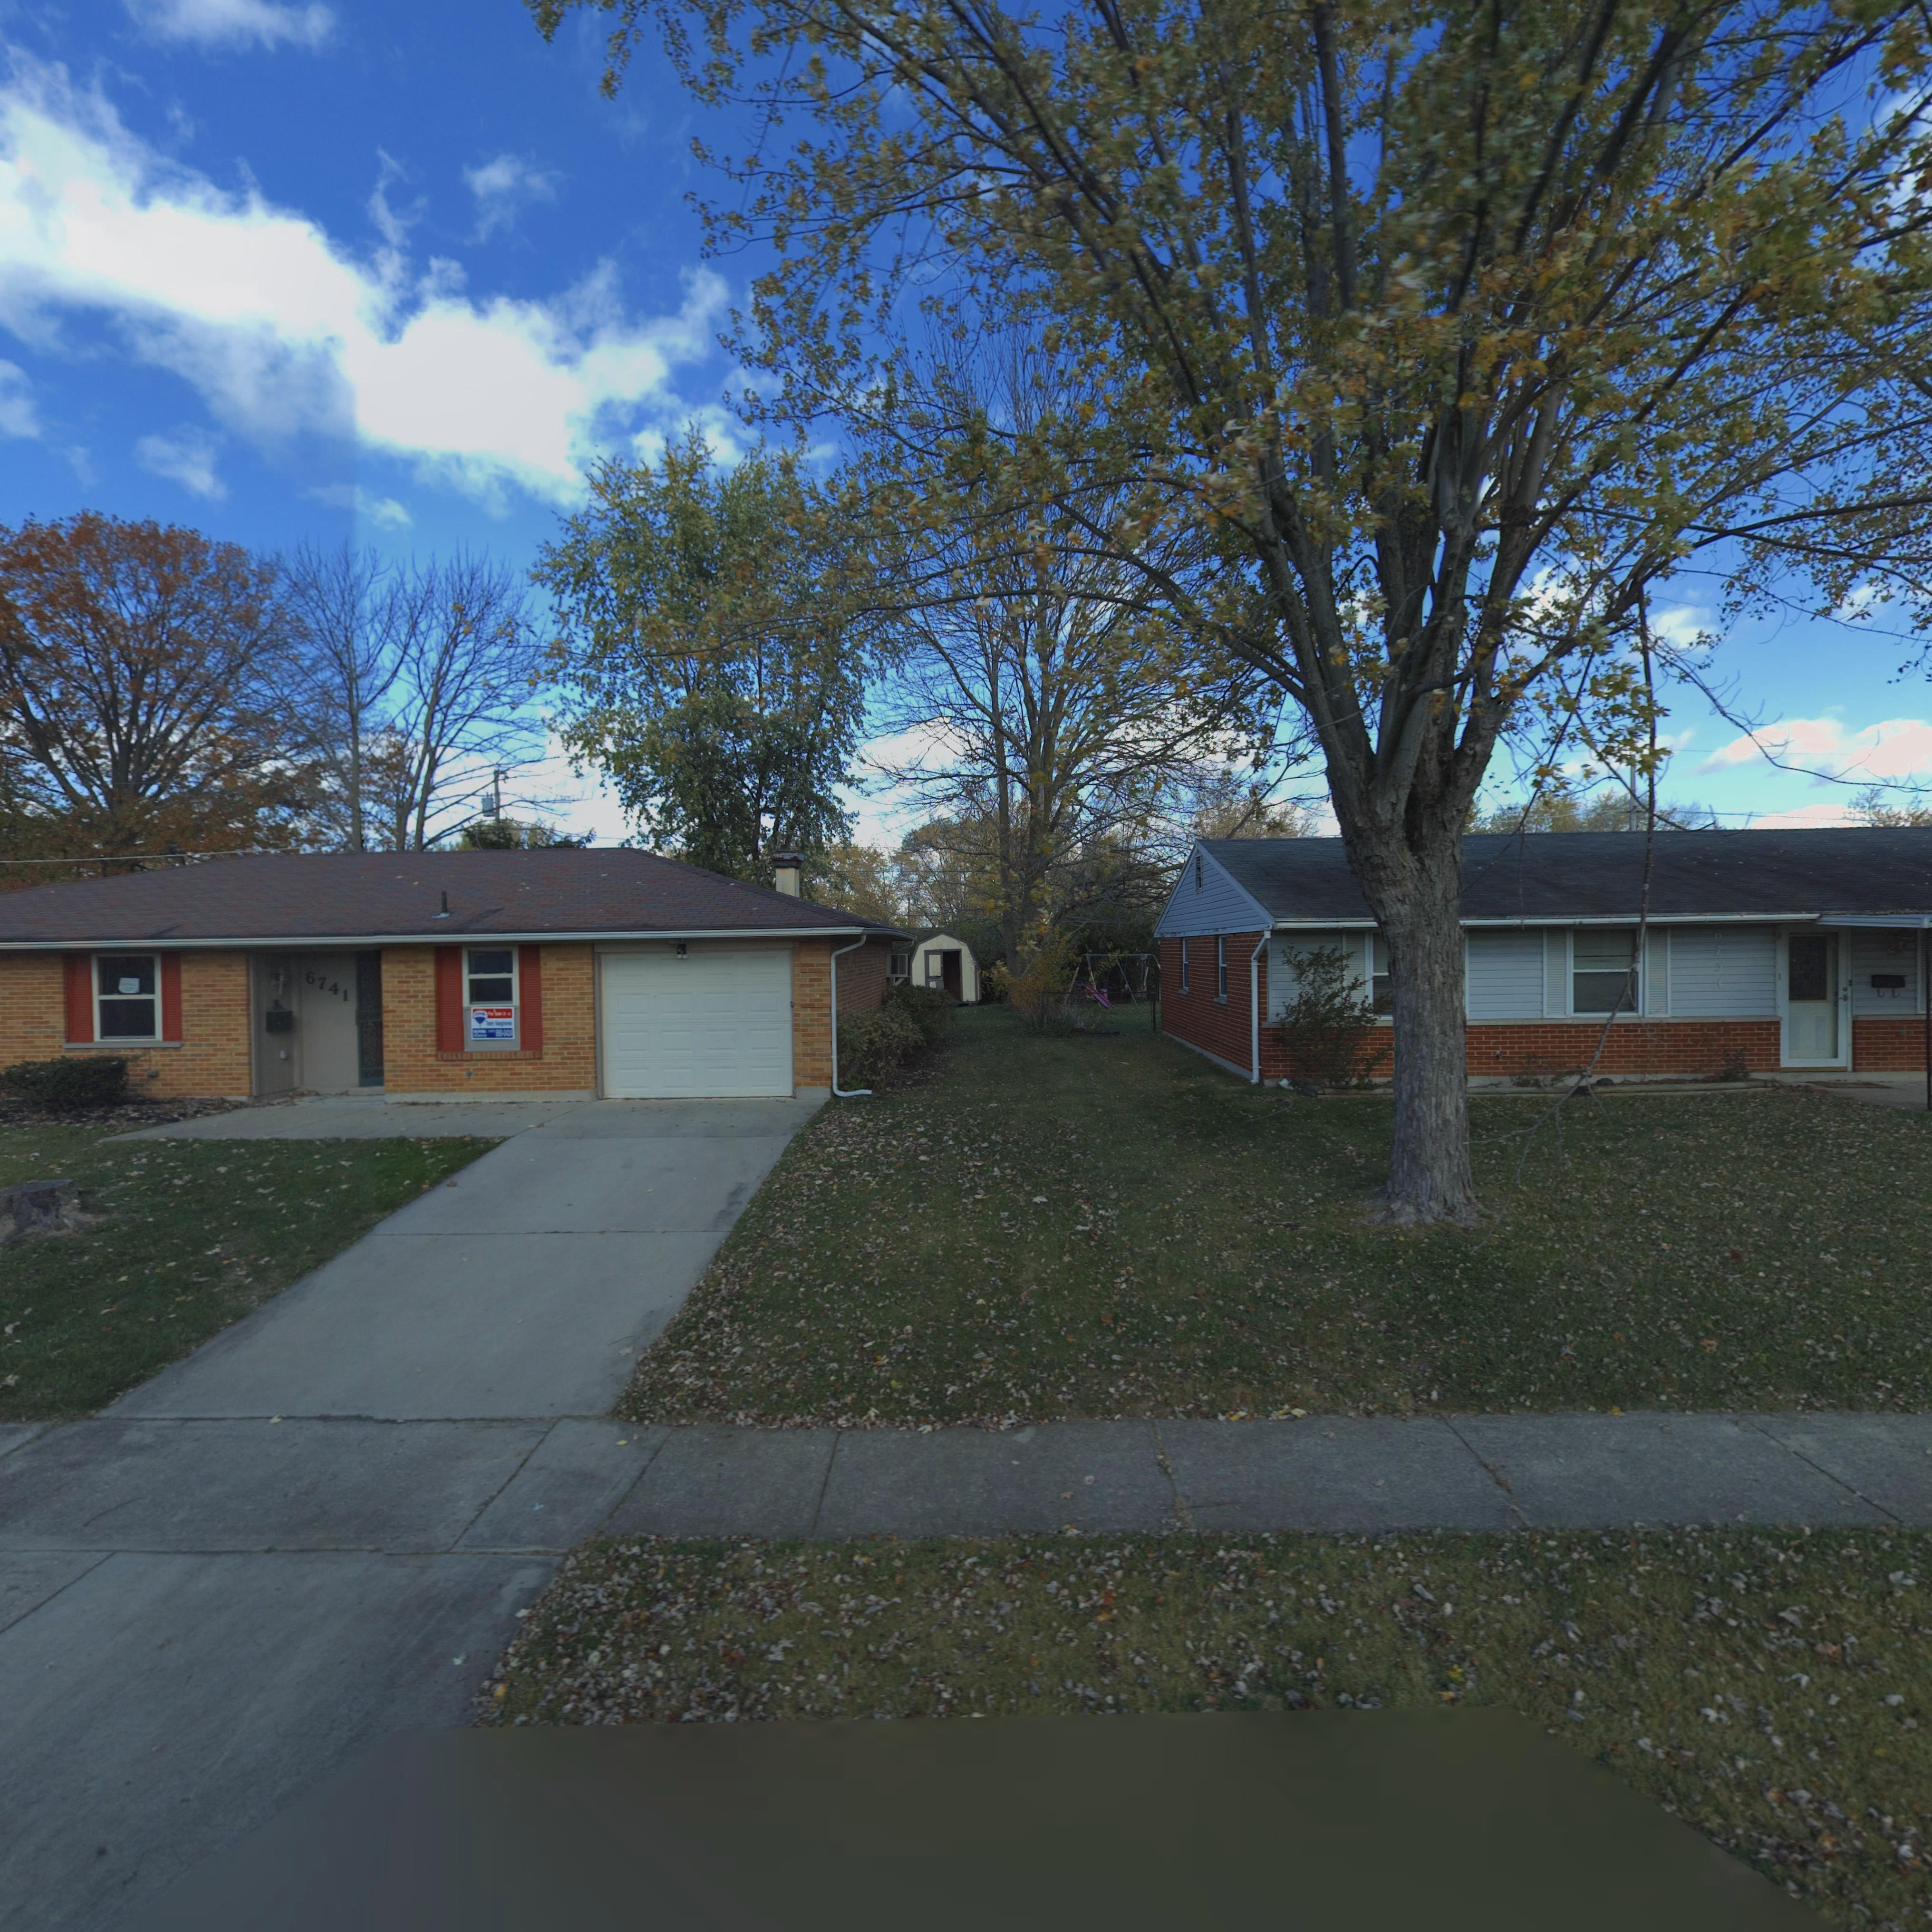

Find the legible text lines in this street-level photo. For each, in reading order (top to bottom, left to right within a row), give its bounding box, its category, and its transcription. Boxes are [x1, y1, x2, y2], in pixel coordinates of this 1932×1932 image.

[305, 970, 349, 1002] StreetNumber: 6741
[1713, 927, 1724, 989] StreetNumber: 6751